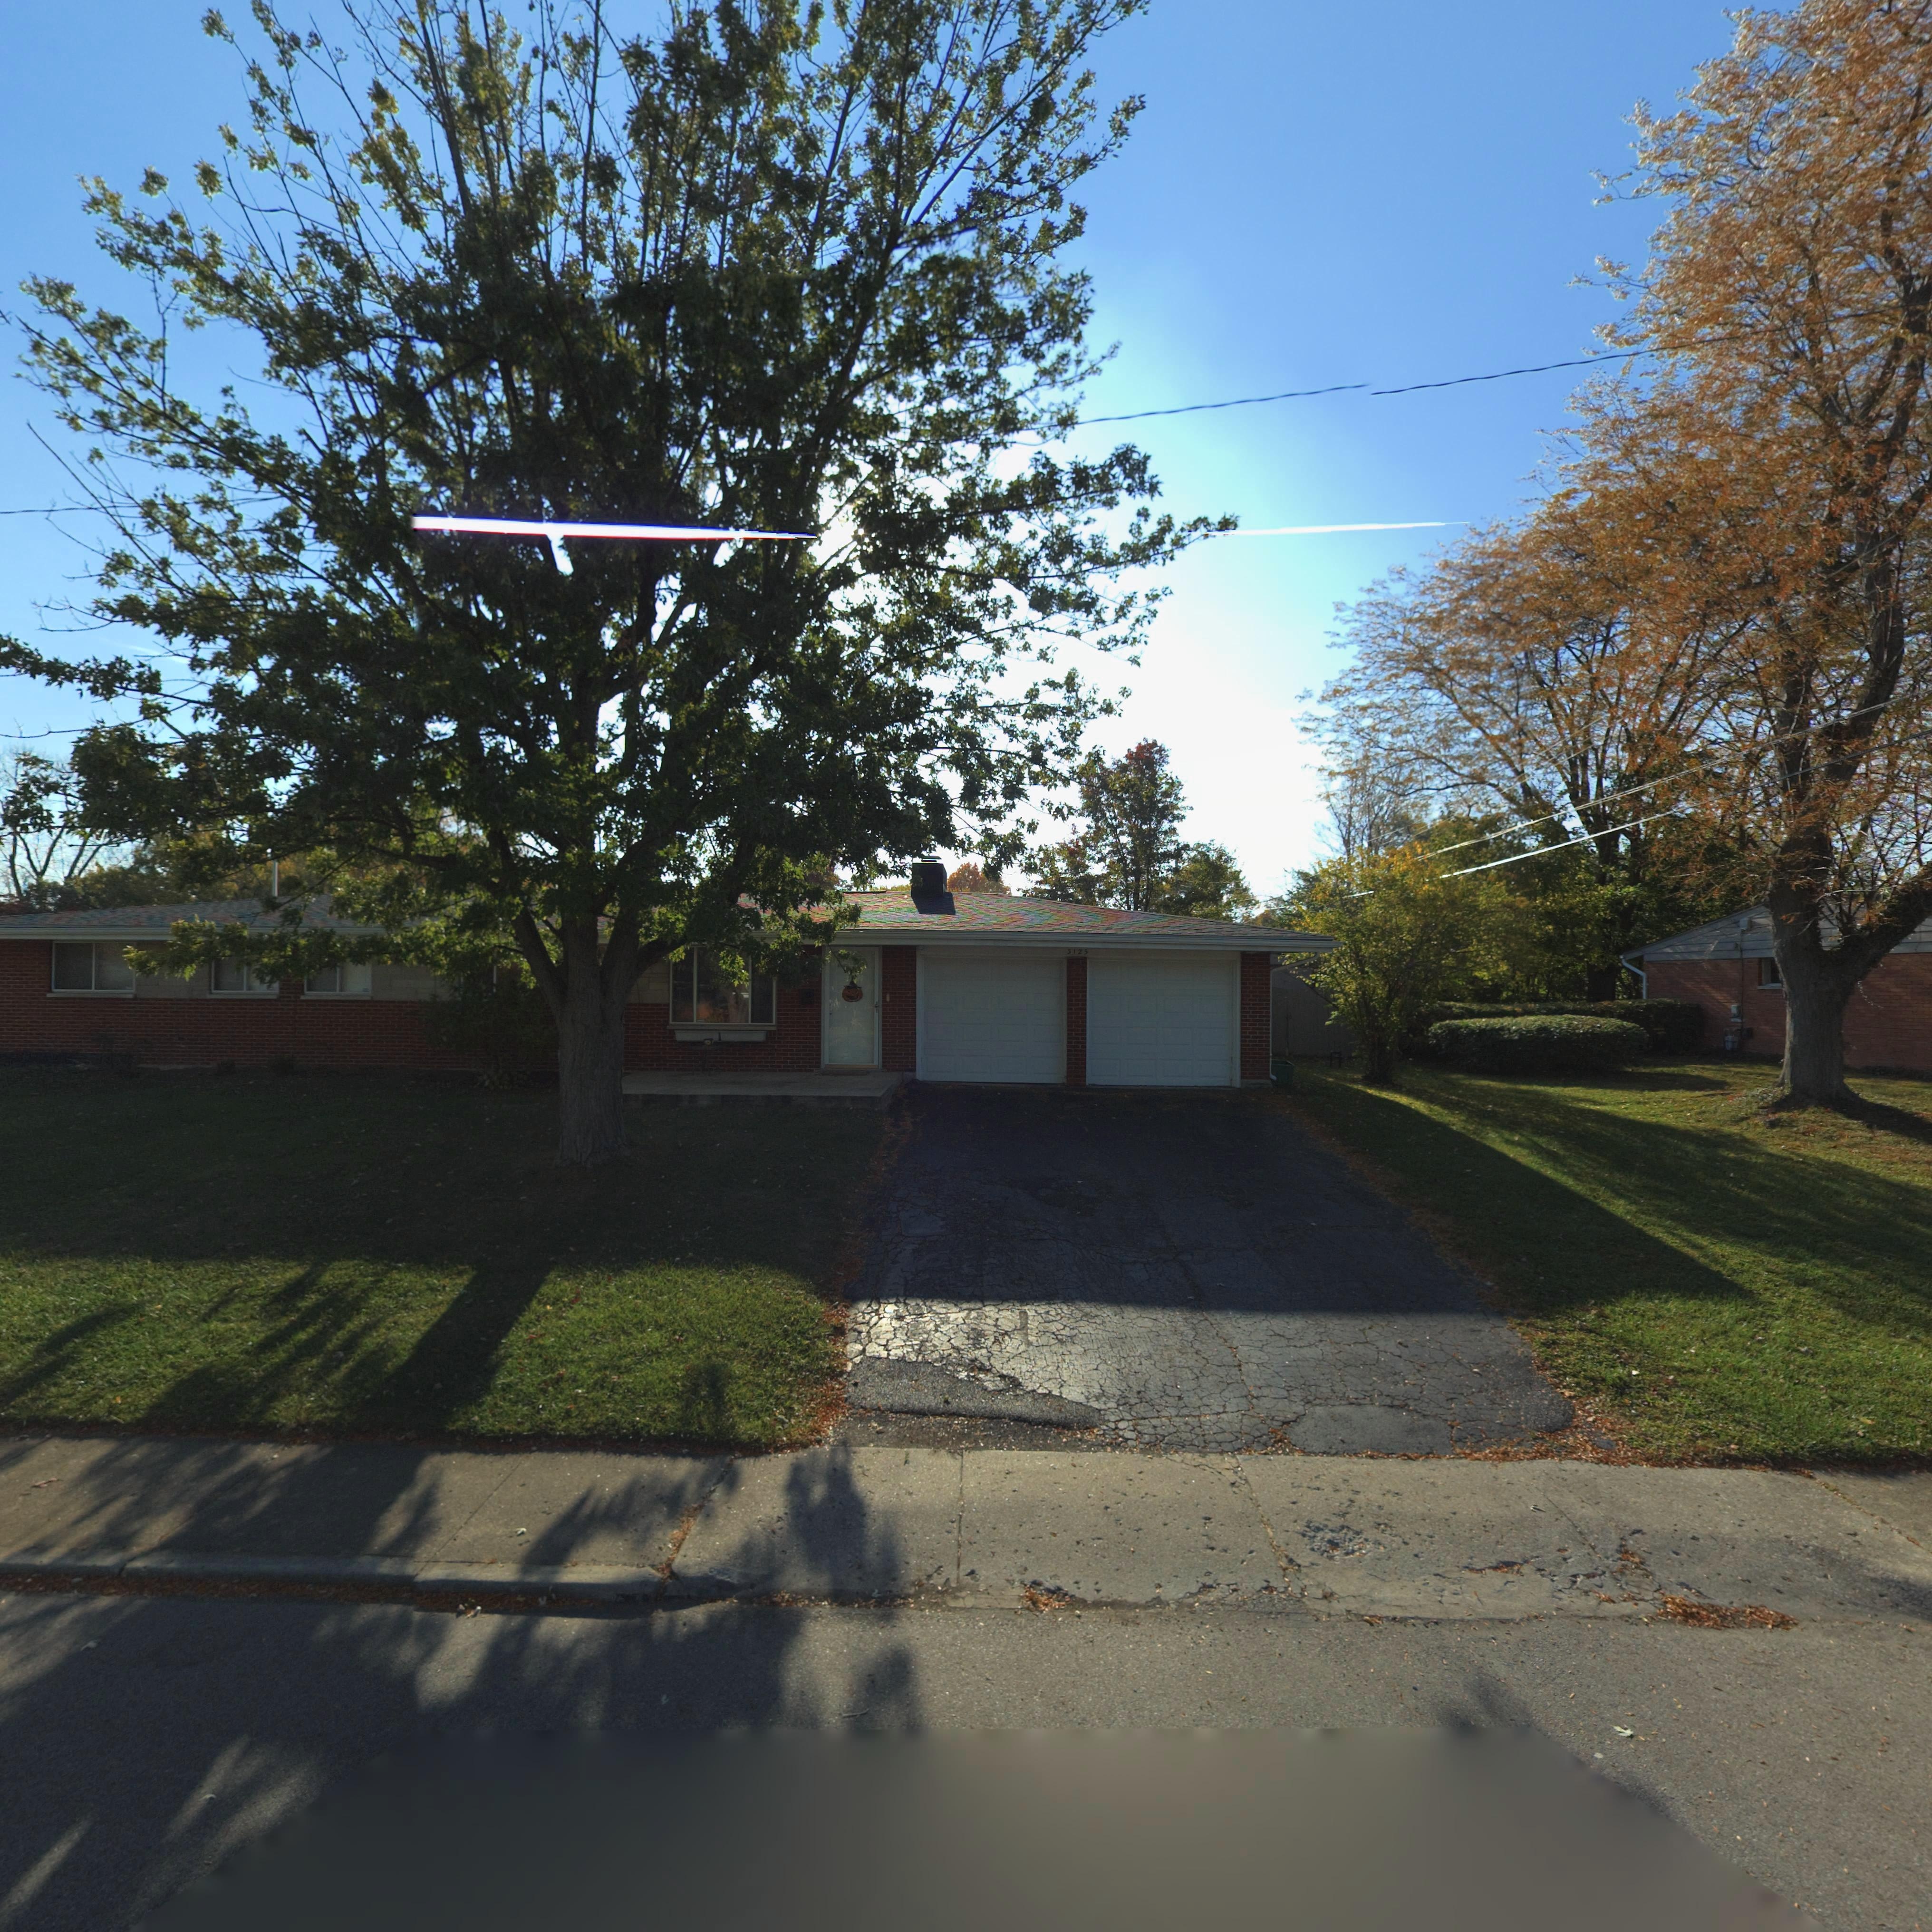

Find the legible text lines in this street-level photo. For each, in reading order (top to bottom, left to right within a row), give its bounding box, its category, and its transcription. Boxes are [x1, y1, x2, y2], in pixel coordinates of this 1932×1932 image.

[1066, 948, 1087, 954] StreetNumber: 3125